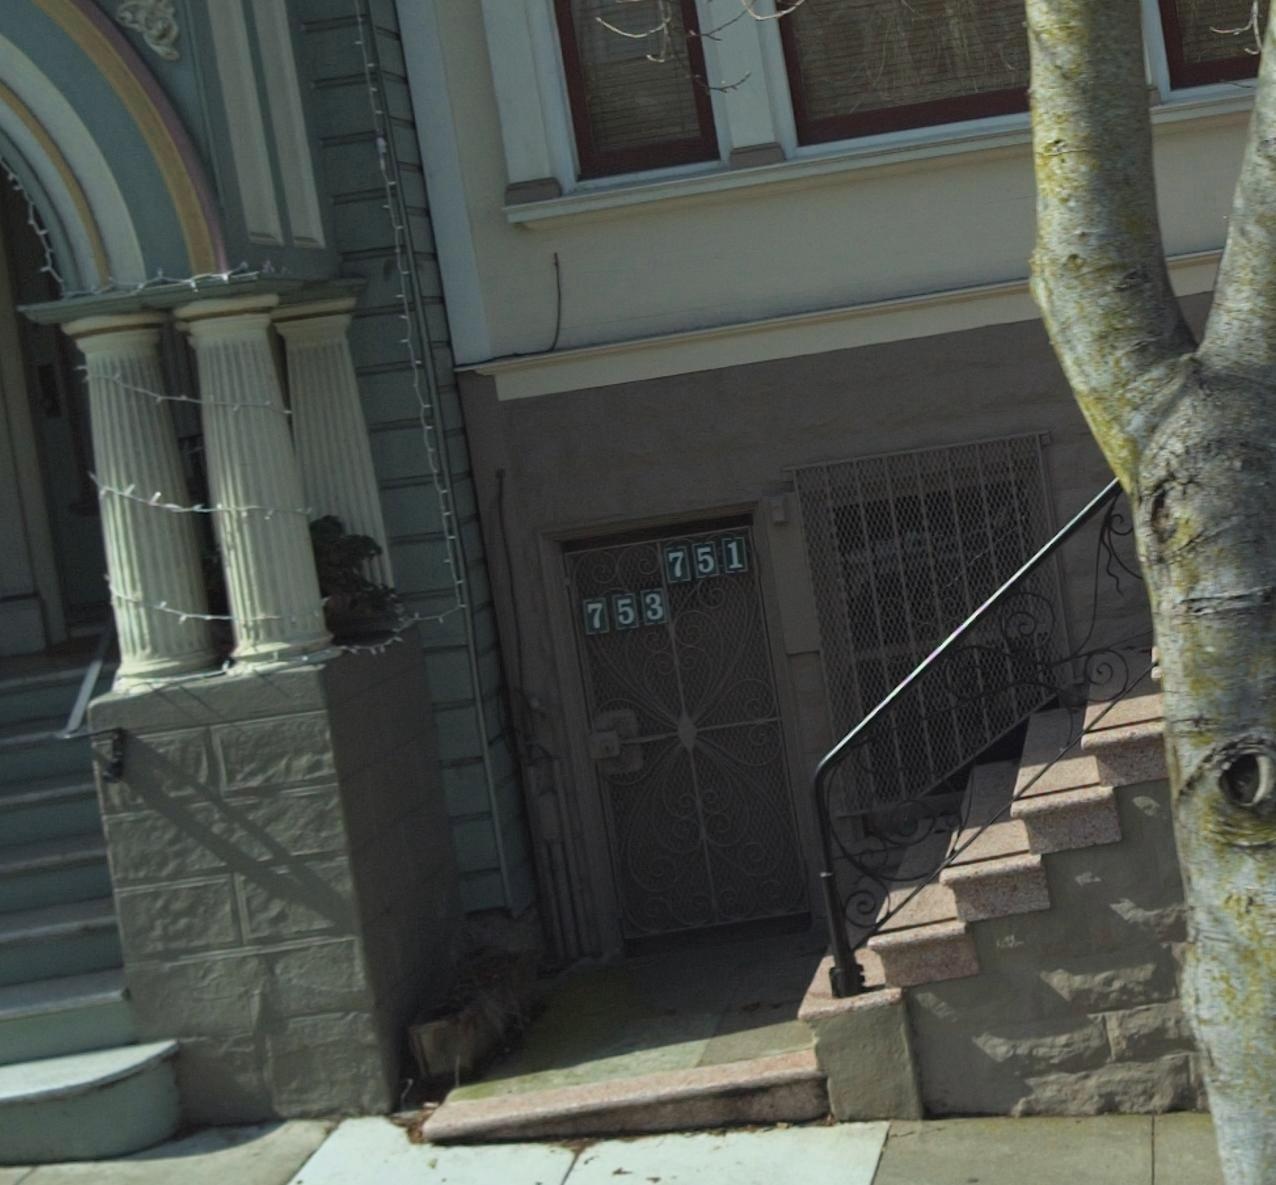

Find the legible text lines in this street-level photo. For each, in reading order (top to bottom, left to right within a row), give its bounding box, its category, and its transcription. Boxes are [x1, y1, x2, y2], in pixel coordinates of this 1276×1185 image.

[667, 538, 747, 580] StreetNumber: 751
[584, 590, 666, 631] StreetNumber: 753